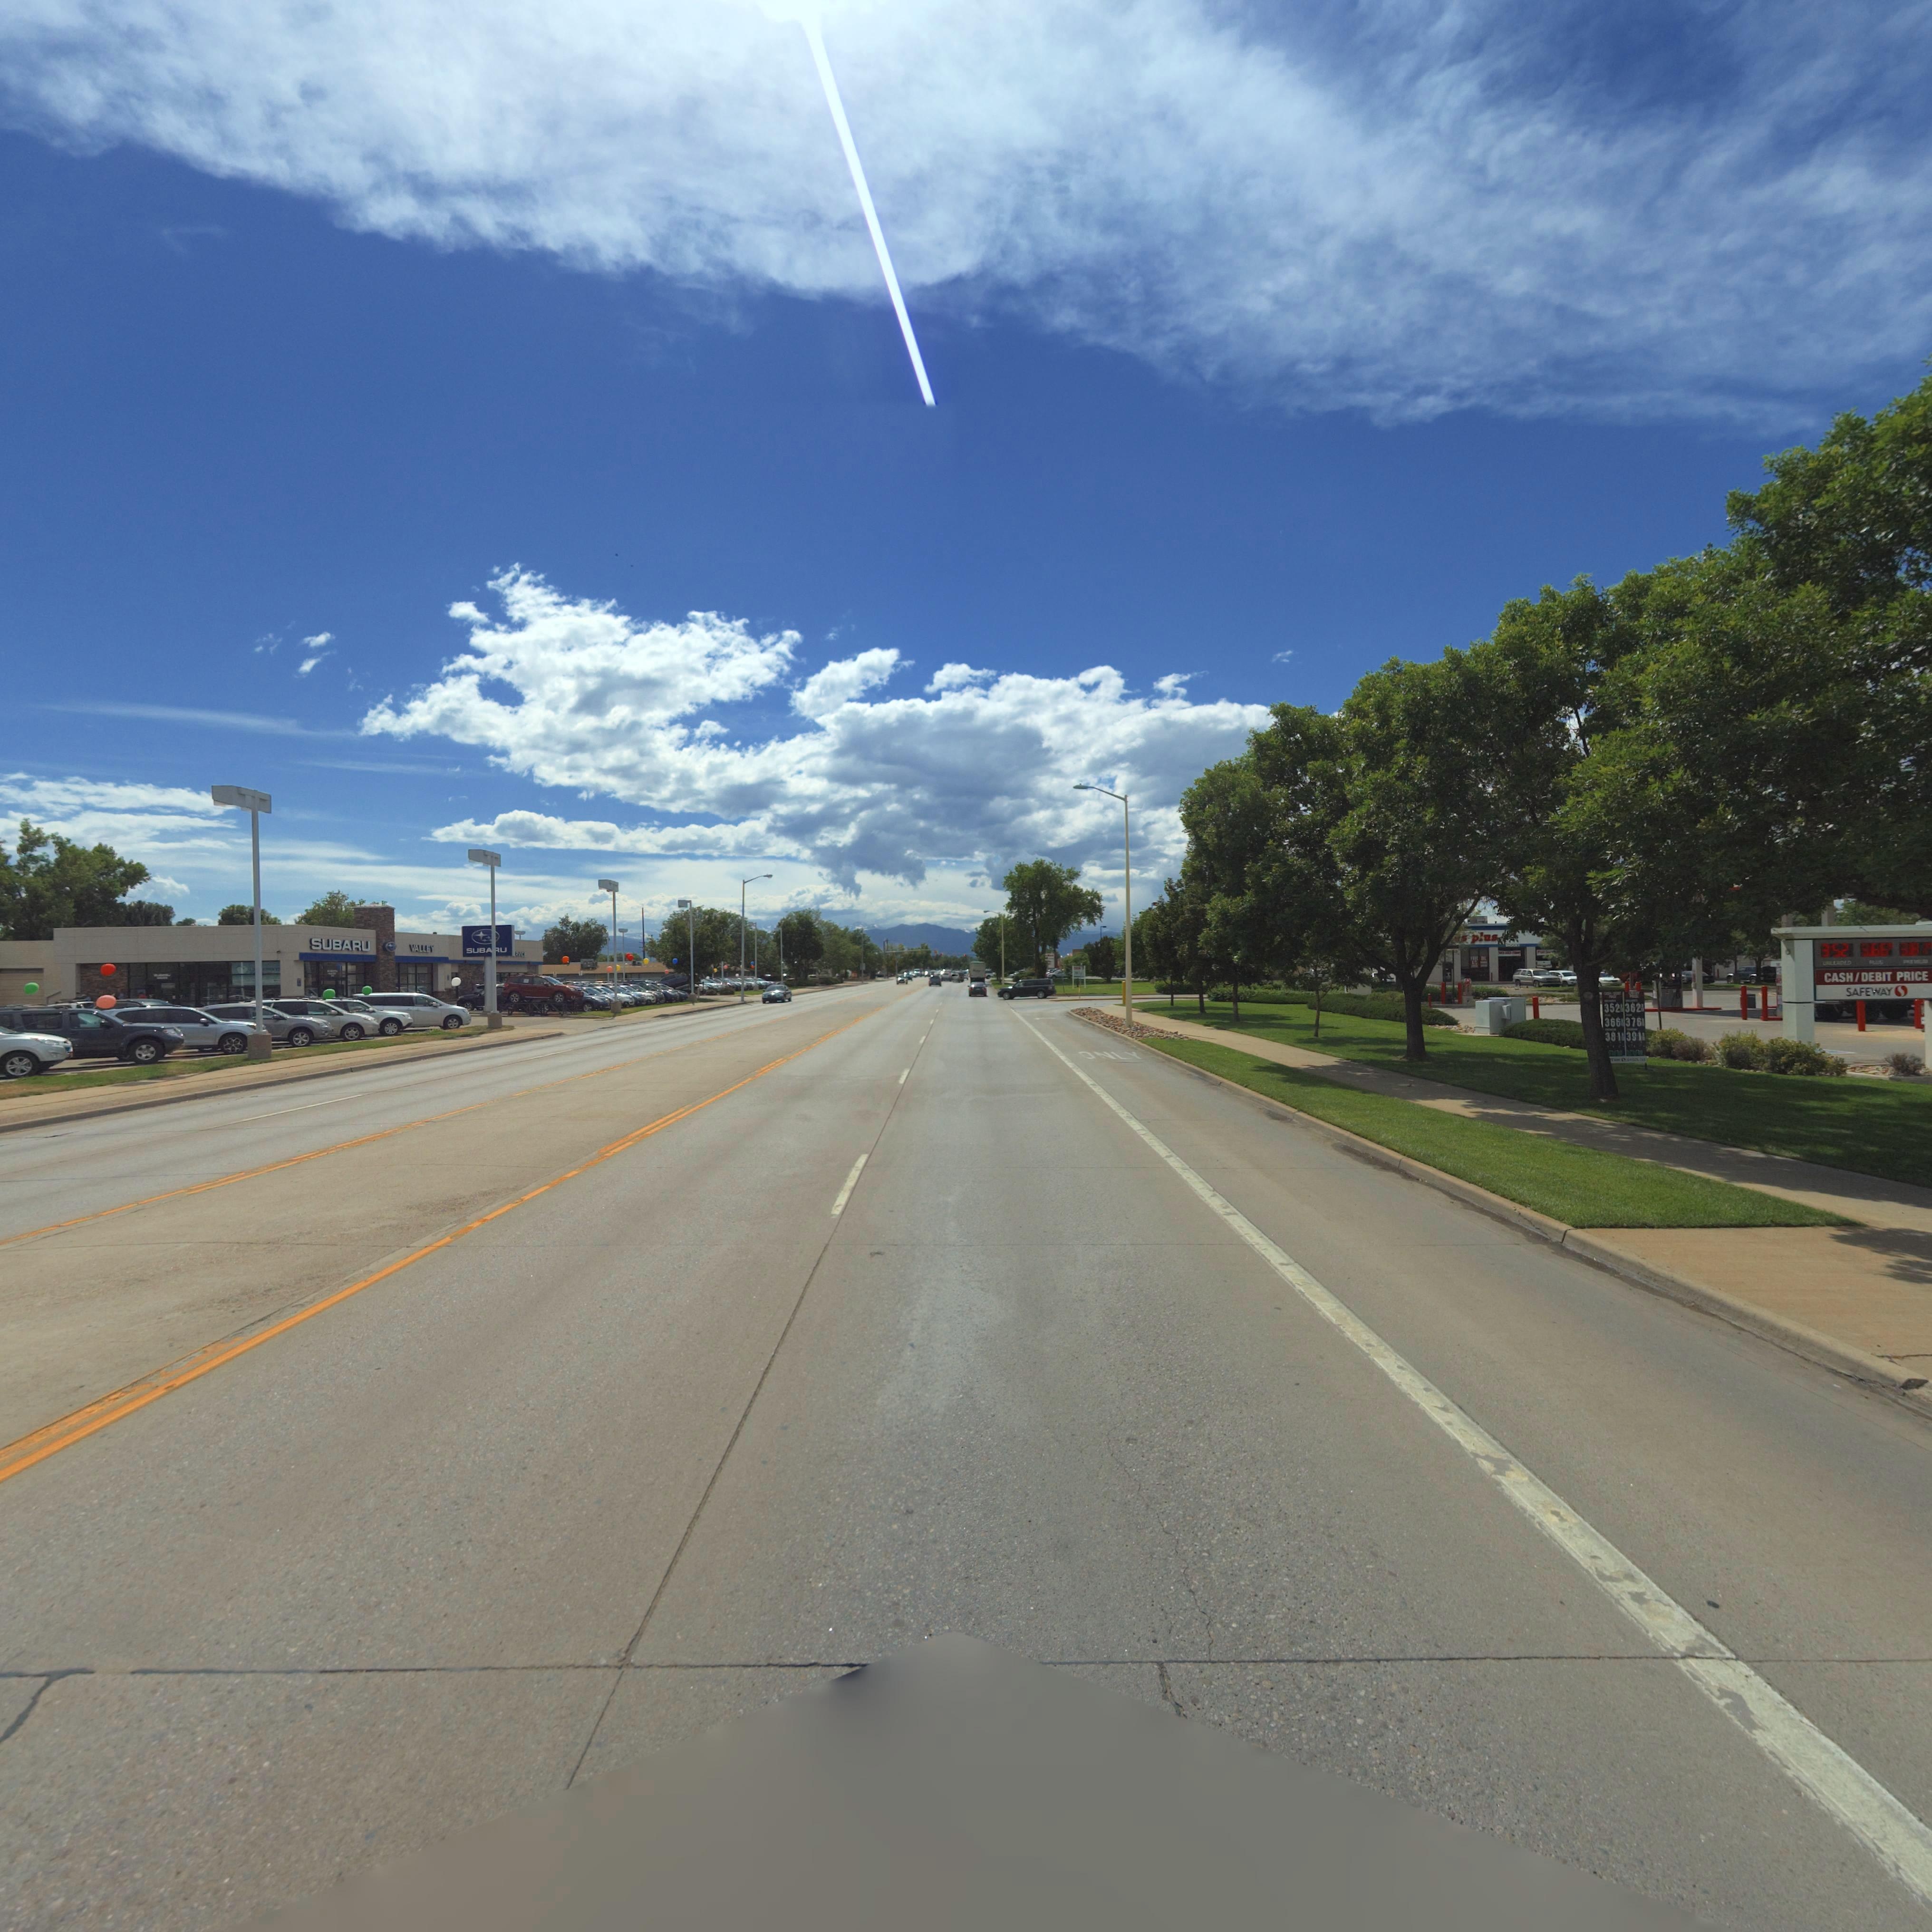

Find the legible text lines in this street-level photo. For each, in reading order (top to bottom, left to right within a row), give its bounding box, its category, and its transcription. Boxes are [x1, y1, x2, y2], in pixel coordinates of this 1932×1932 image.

[1460, 931, 1498, 943] BusinessName: * plus
[309, 937, 371, 952] BusinessName: SUBARU
[408, 944, 435, 952] BusinessName: VALLEY
[466, 947, 507, 954] BusinessName: SUBA*U
[1845, 986, 1893, 996] BusinessName: SAFEWAY